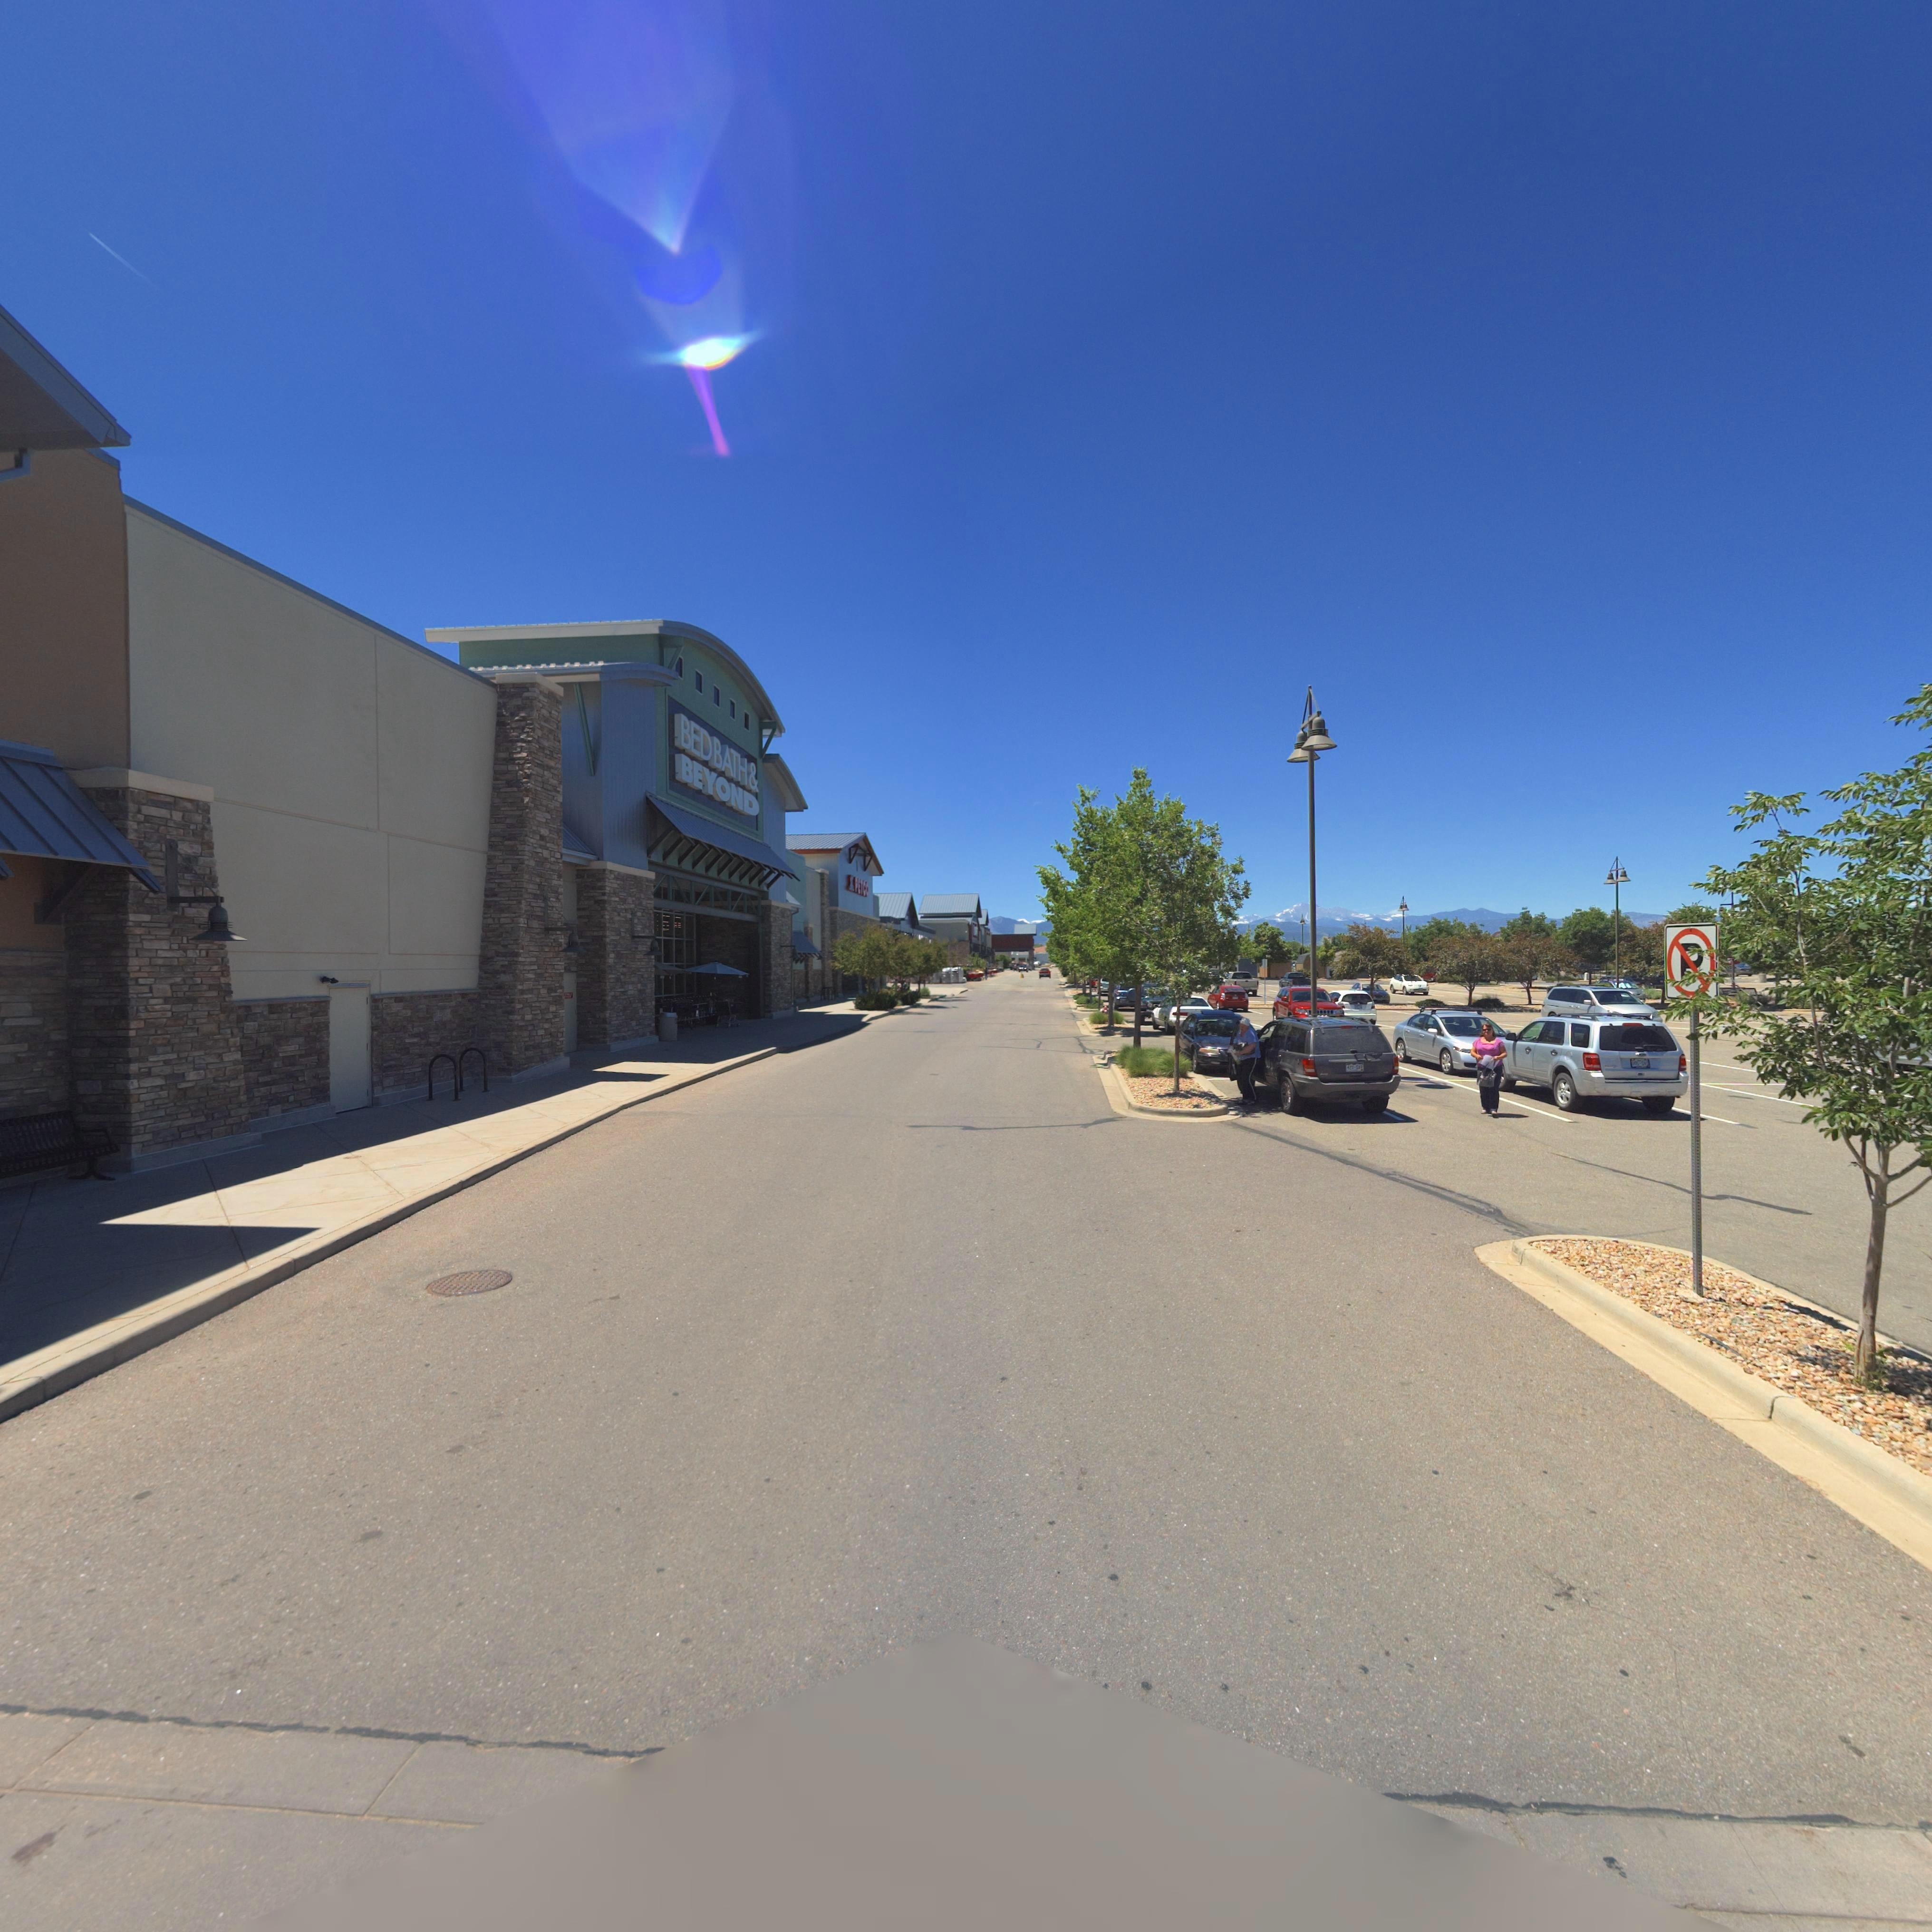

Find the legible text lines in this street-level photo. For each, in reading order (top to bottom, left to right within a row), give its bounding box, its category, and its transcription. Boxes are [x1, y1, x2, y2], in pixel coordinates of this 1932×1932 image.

[679, 712, 760, 794] BusinessName: BEDBATH&
[680, 753, 761, 817] BusinessName: BEYOND
[854, 876, 869, 897] BusinessName: PETCO